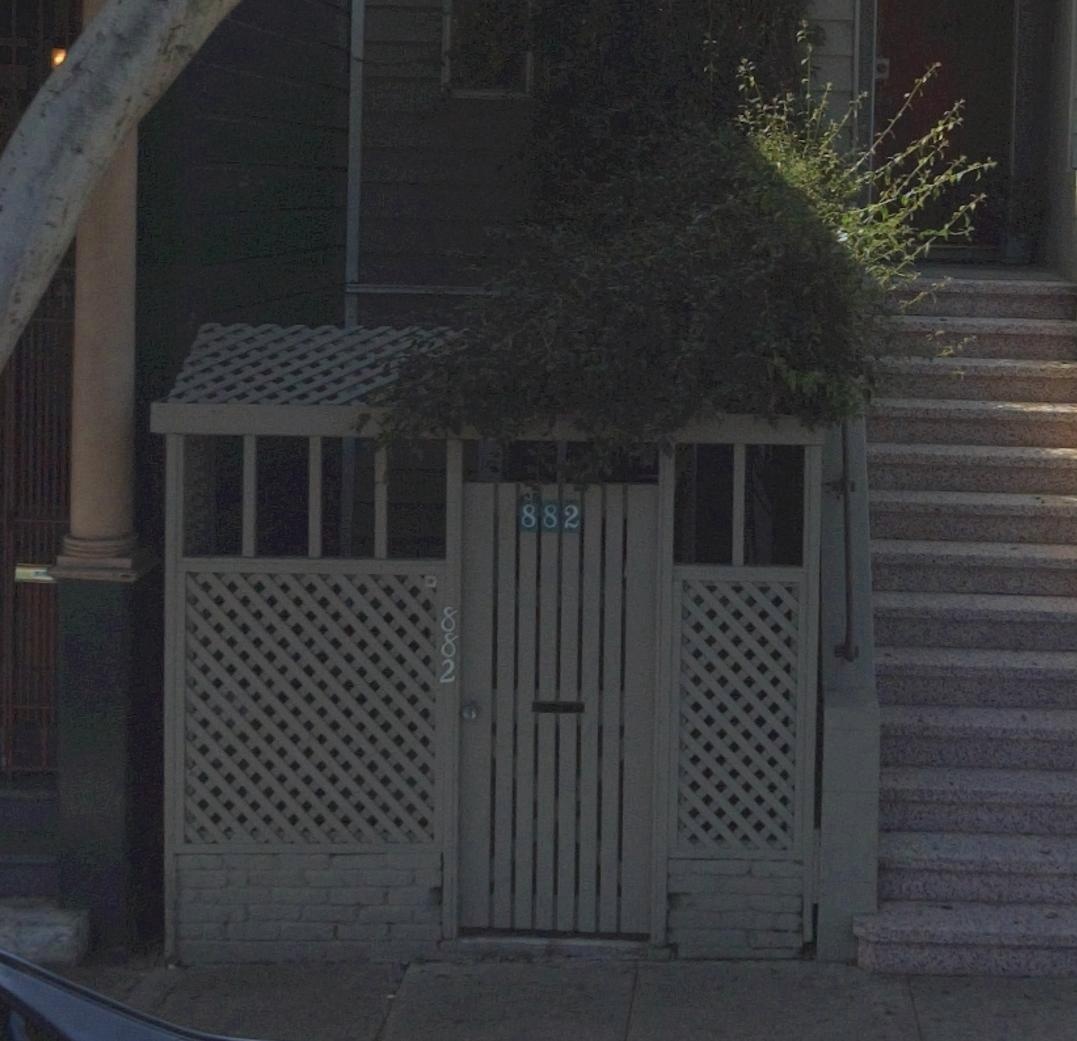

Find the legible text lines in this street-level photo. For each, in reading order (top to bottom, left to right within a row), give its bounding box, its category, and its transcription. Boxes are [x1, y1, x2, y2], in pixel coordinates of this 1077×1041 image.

[521, 503, 581, 531] StreetNumber: 882
[438, 604, 458, 683] StreetNumber: 882